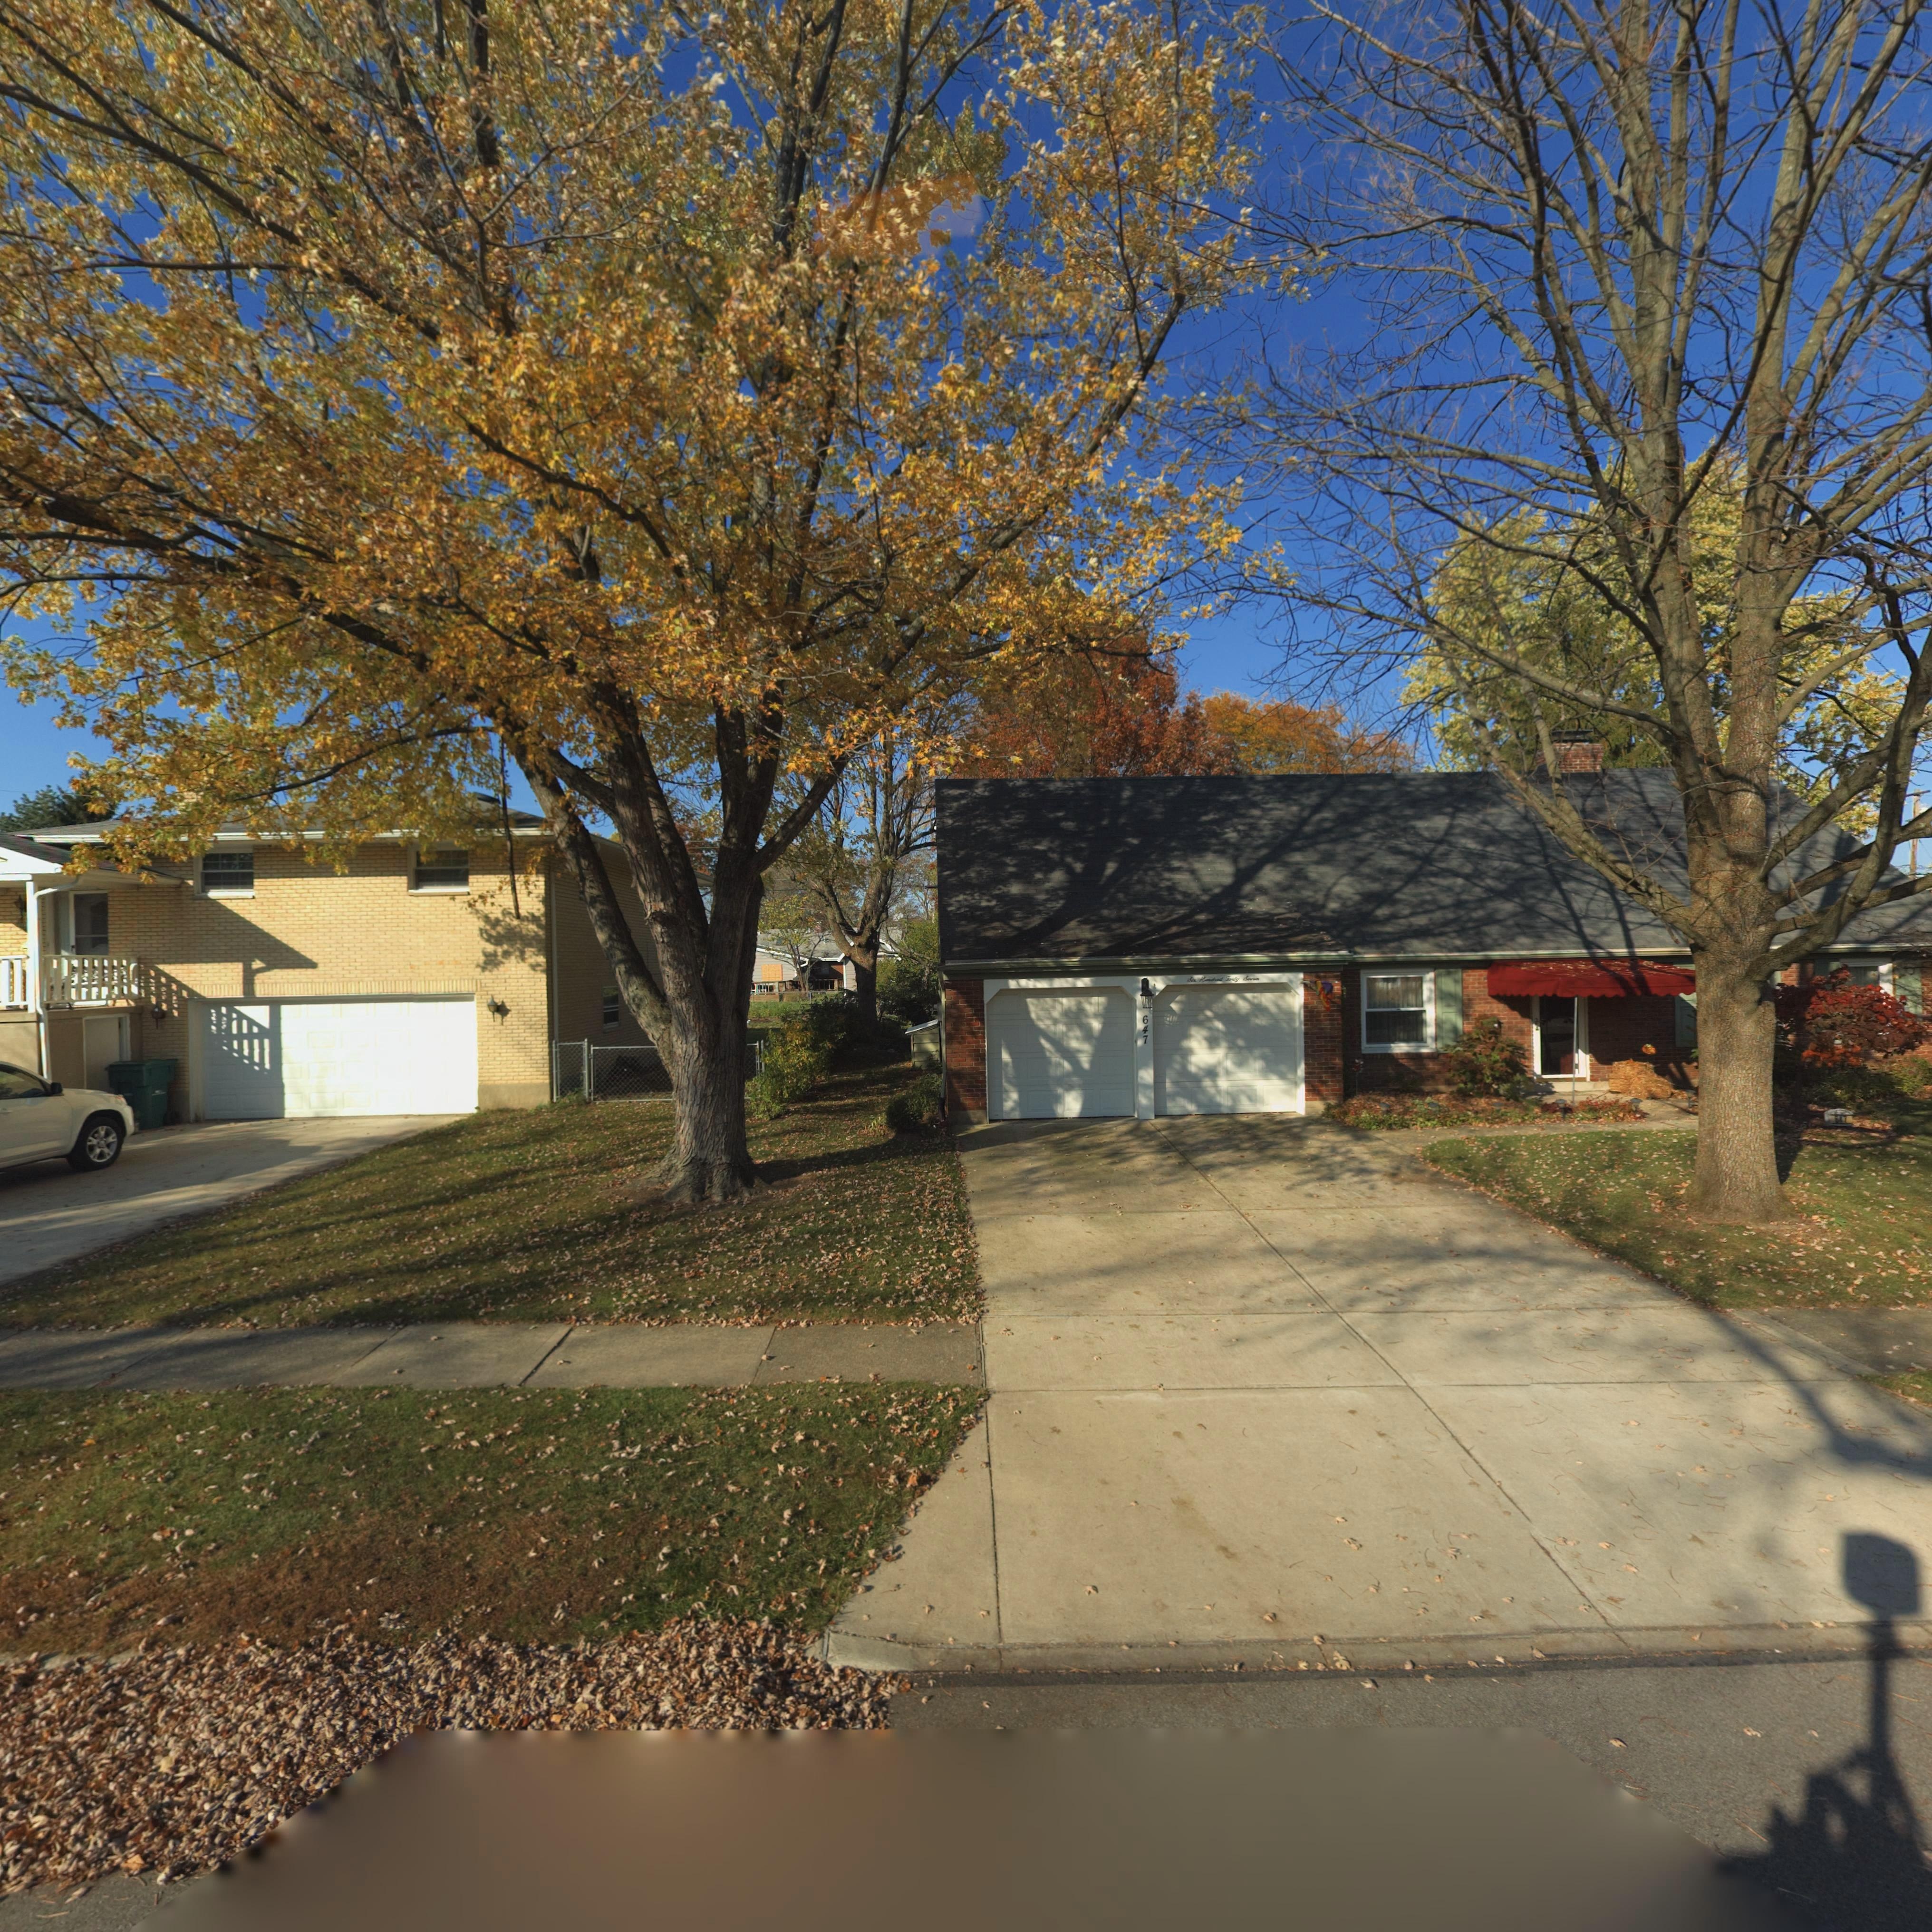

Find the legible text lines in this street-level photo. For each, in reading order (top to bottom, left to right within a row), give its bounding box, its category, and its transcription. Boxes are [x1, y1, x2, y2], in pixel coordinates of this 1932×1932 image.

[1186, 975, 1260, 983] StreetNumber: Six Hundred Forty Seven
[1142, 1014, 1149, 1045] StreetNumber: 647
[1834, 1115, 1847, 1123] StreetNumber: 647